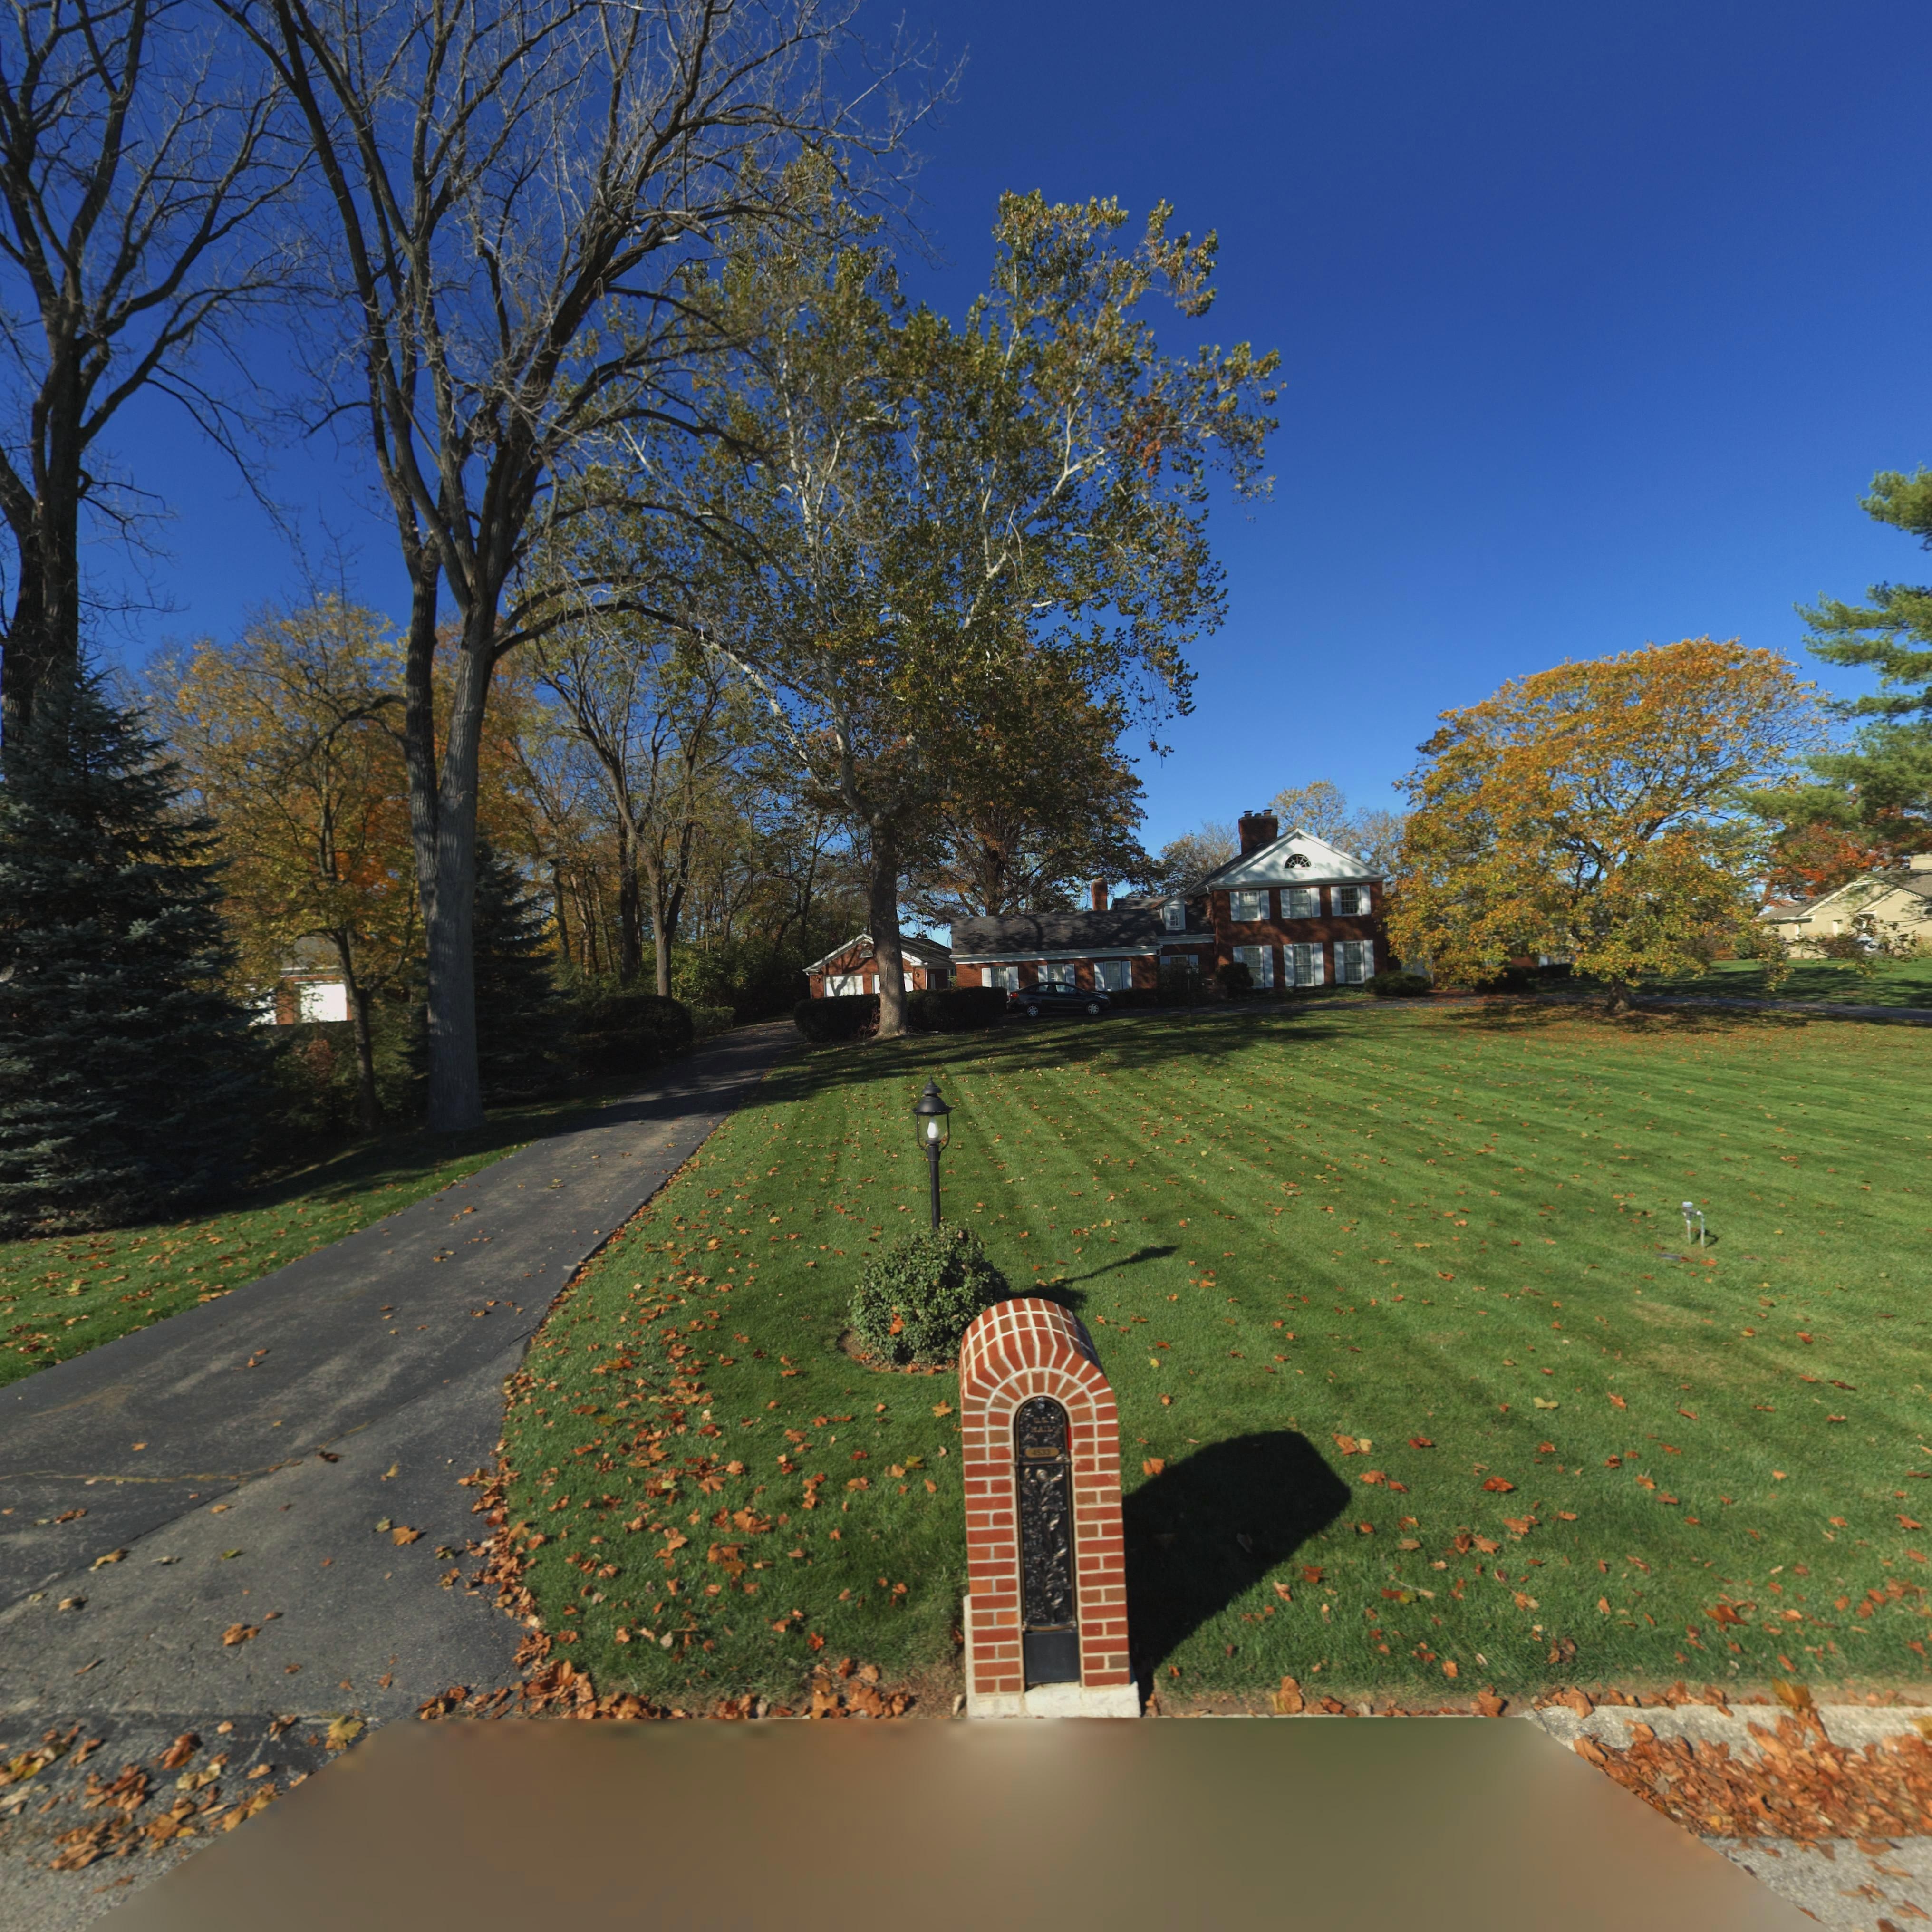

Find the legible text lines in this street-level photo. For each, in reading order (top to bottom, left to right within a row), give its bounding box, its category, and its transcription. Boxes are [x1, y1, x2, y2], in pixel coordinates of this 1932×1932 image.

[1031, 1448, 1052, 1456] StreetNumber: 4533